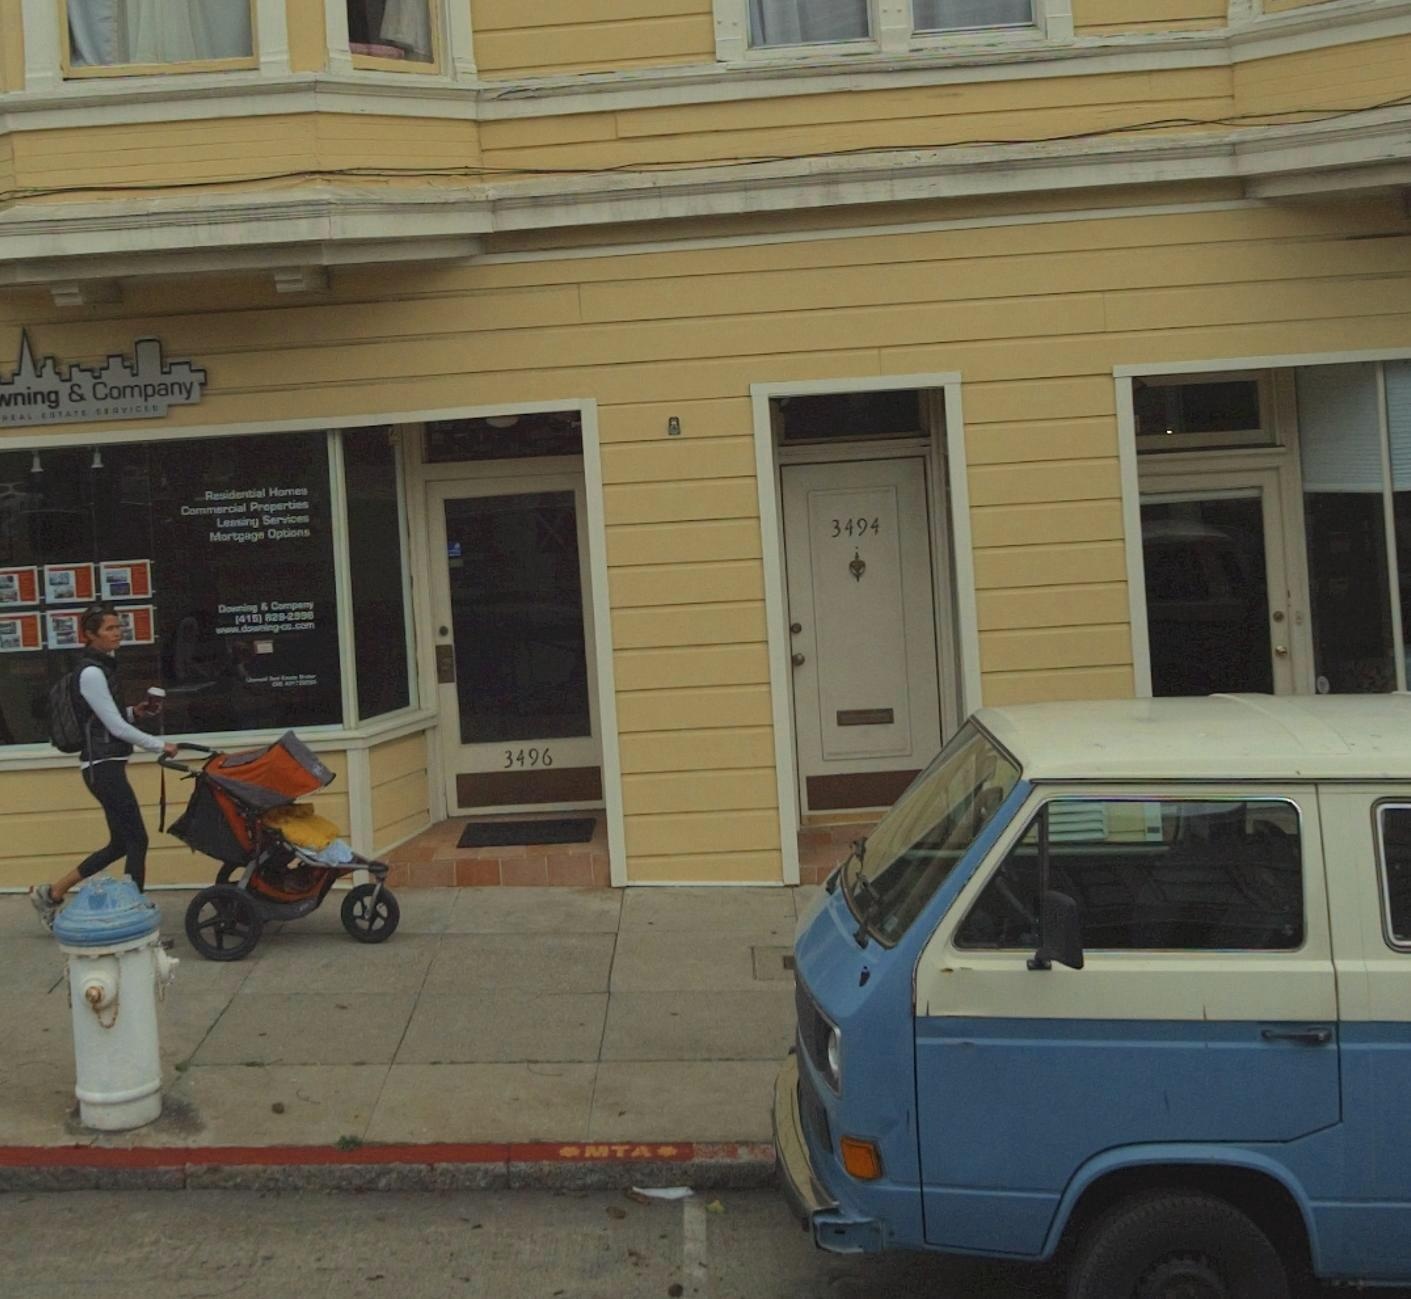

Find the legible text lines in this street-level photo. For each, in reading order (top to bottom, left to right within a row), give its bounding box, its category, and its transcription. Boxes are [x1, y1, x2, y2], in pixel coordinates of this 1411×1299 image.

[12, 379, 196, 410] BusinessName: ning & Company
[1, 402, 159, 423] BusinessName: REAL ESTATE SERVICES
[204, 485, 309, 503] None: Residential Homes
[178, 499, 310, 517] None: Commercial Properties
[208, 527, 311, 544] None: Mortgage Options
[215, 514, 311, 529] None: Leasing Services
[829, 514, 880, 539] StreetNumber: 3494
[217, 600, 315, 614] None: Downing & Company
[234, 611, 315, 626] None: (415) *28-299*
[500, 745, 554, 770] StreetNumber: 3496